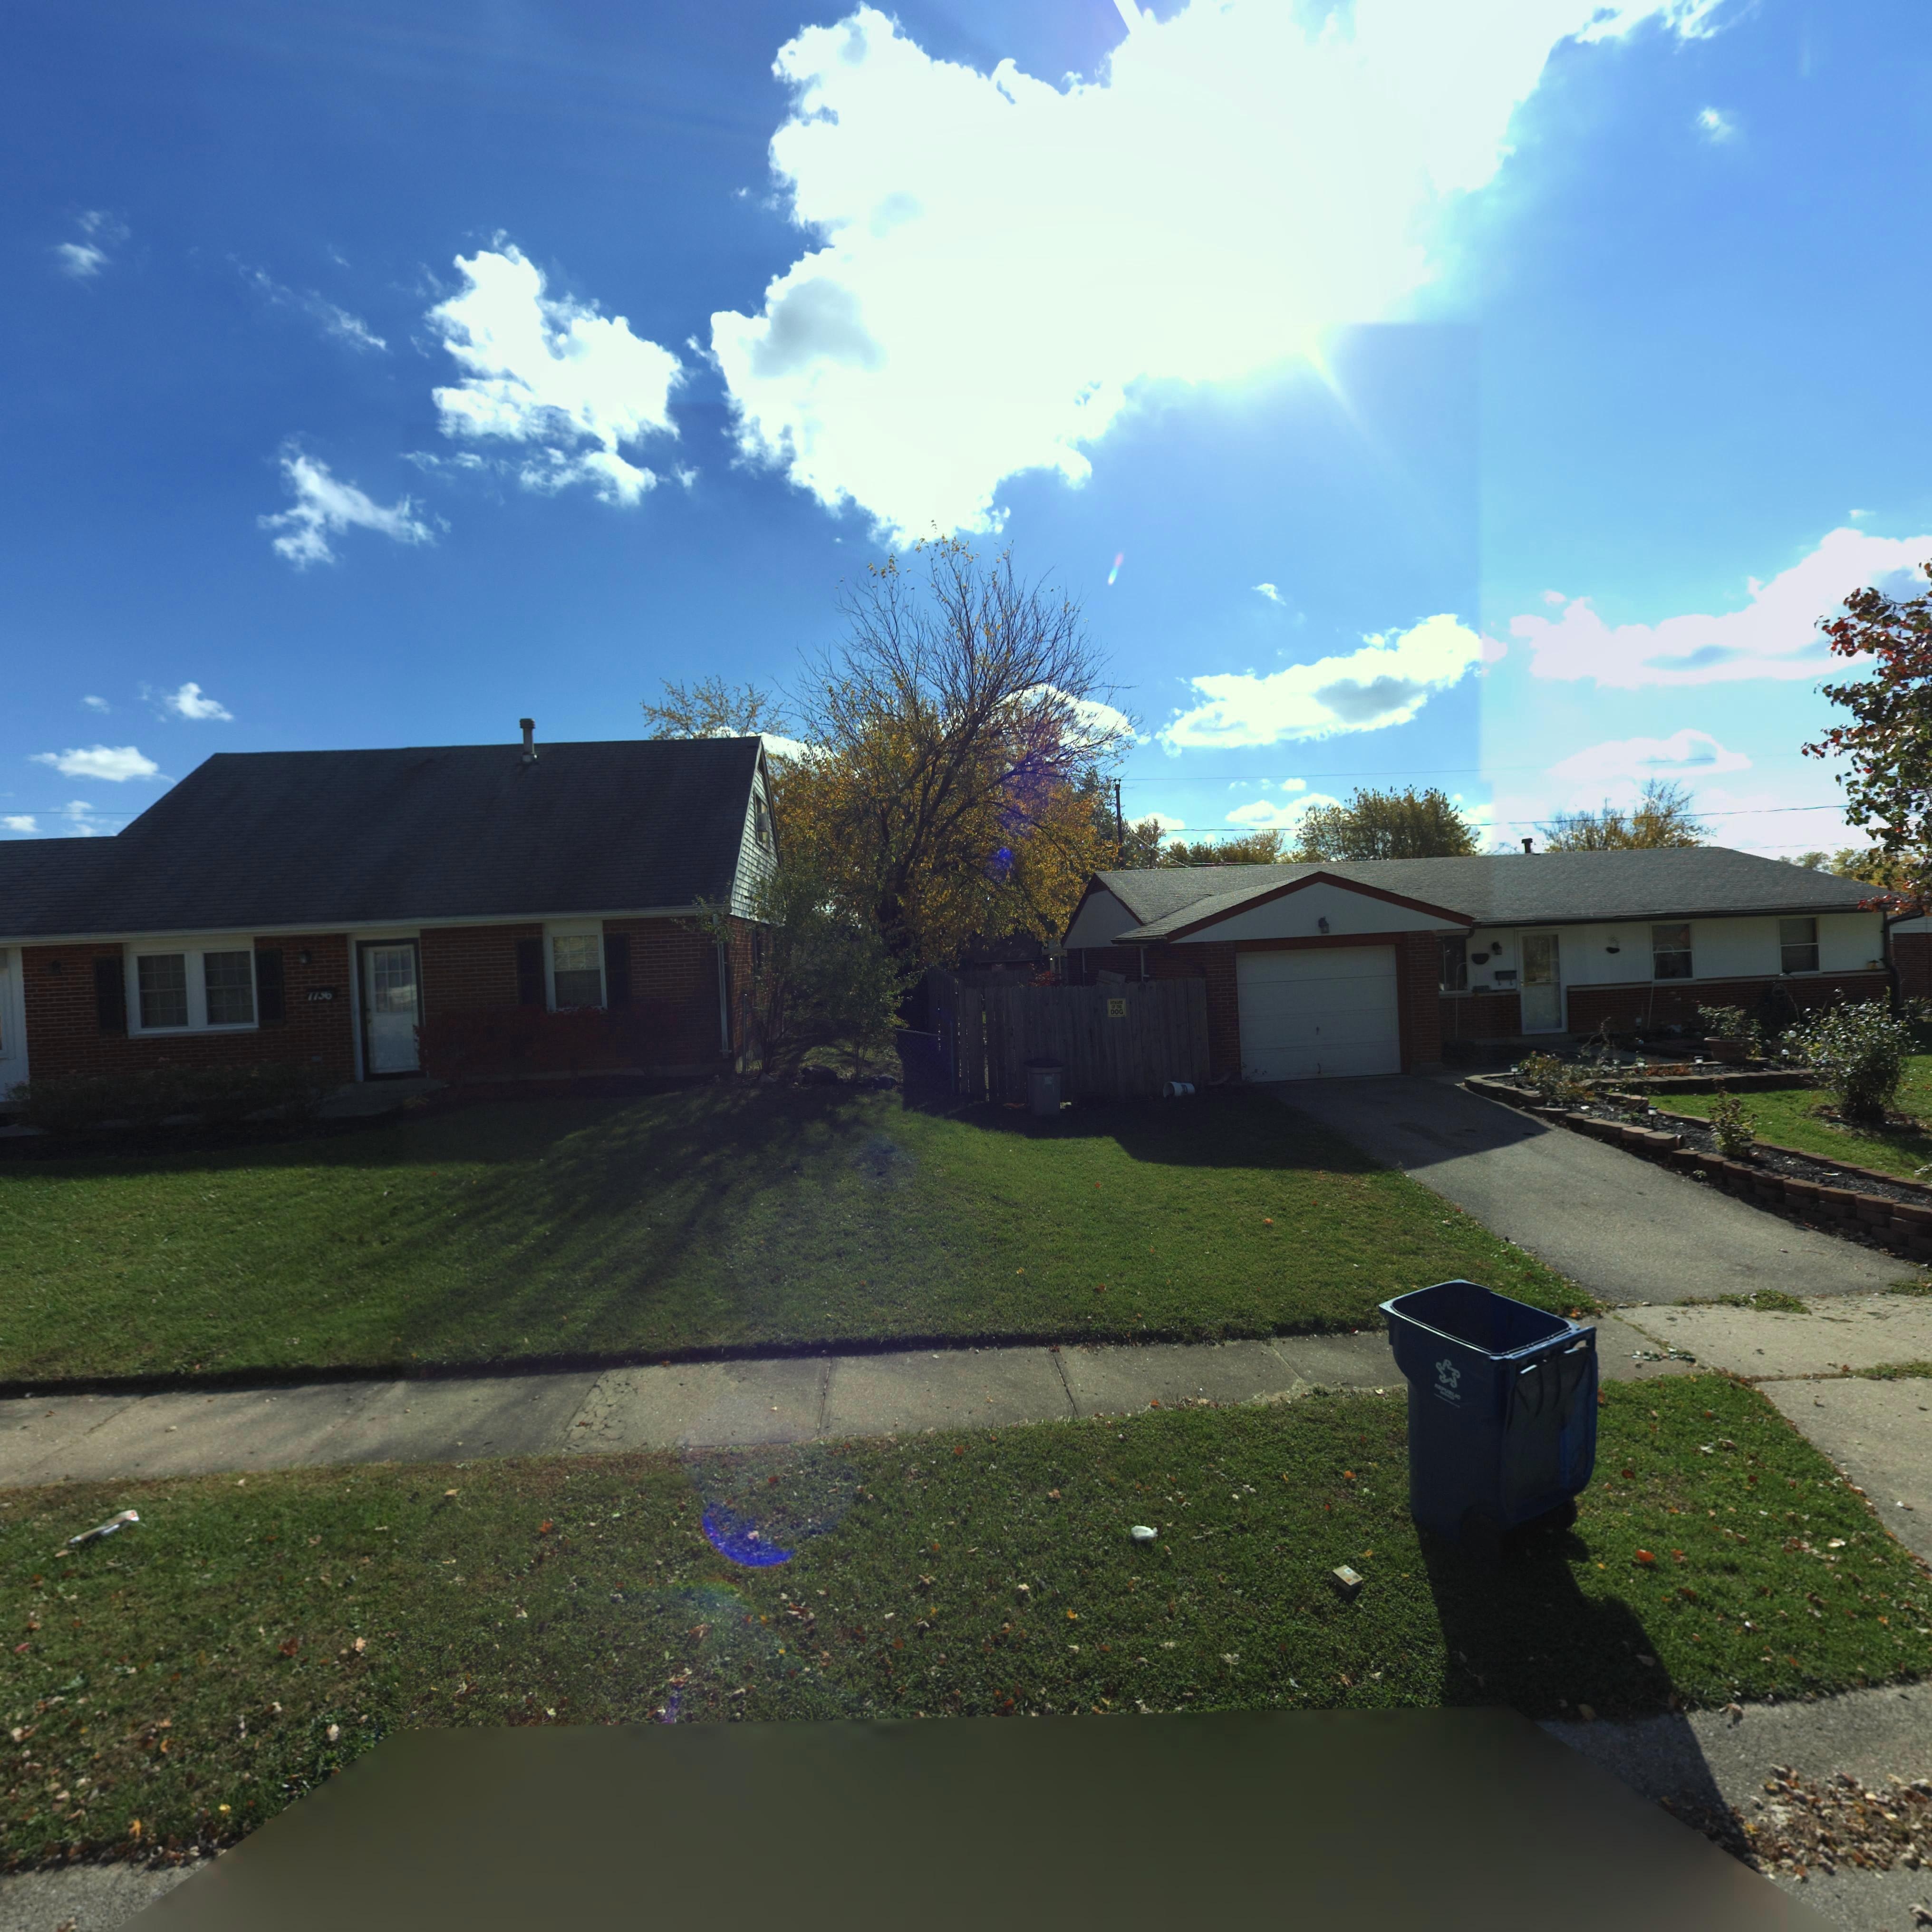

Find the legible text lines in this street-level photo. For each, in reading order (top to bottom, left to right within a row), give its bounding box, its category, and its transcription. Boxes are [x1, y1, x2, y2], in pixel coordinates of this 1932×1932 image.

[1475, 986, 1480, 992] StreetNumber: 7
[306, 989, 333, 1001] StreetNumber: 7736